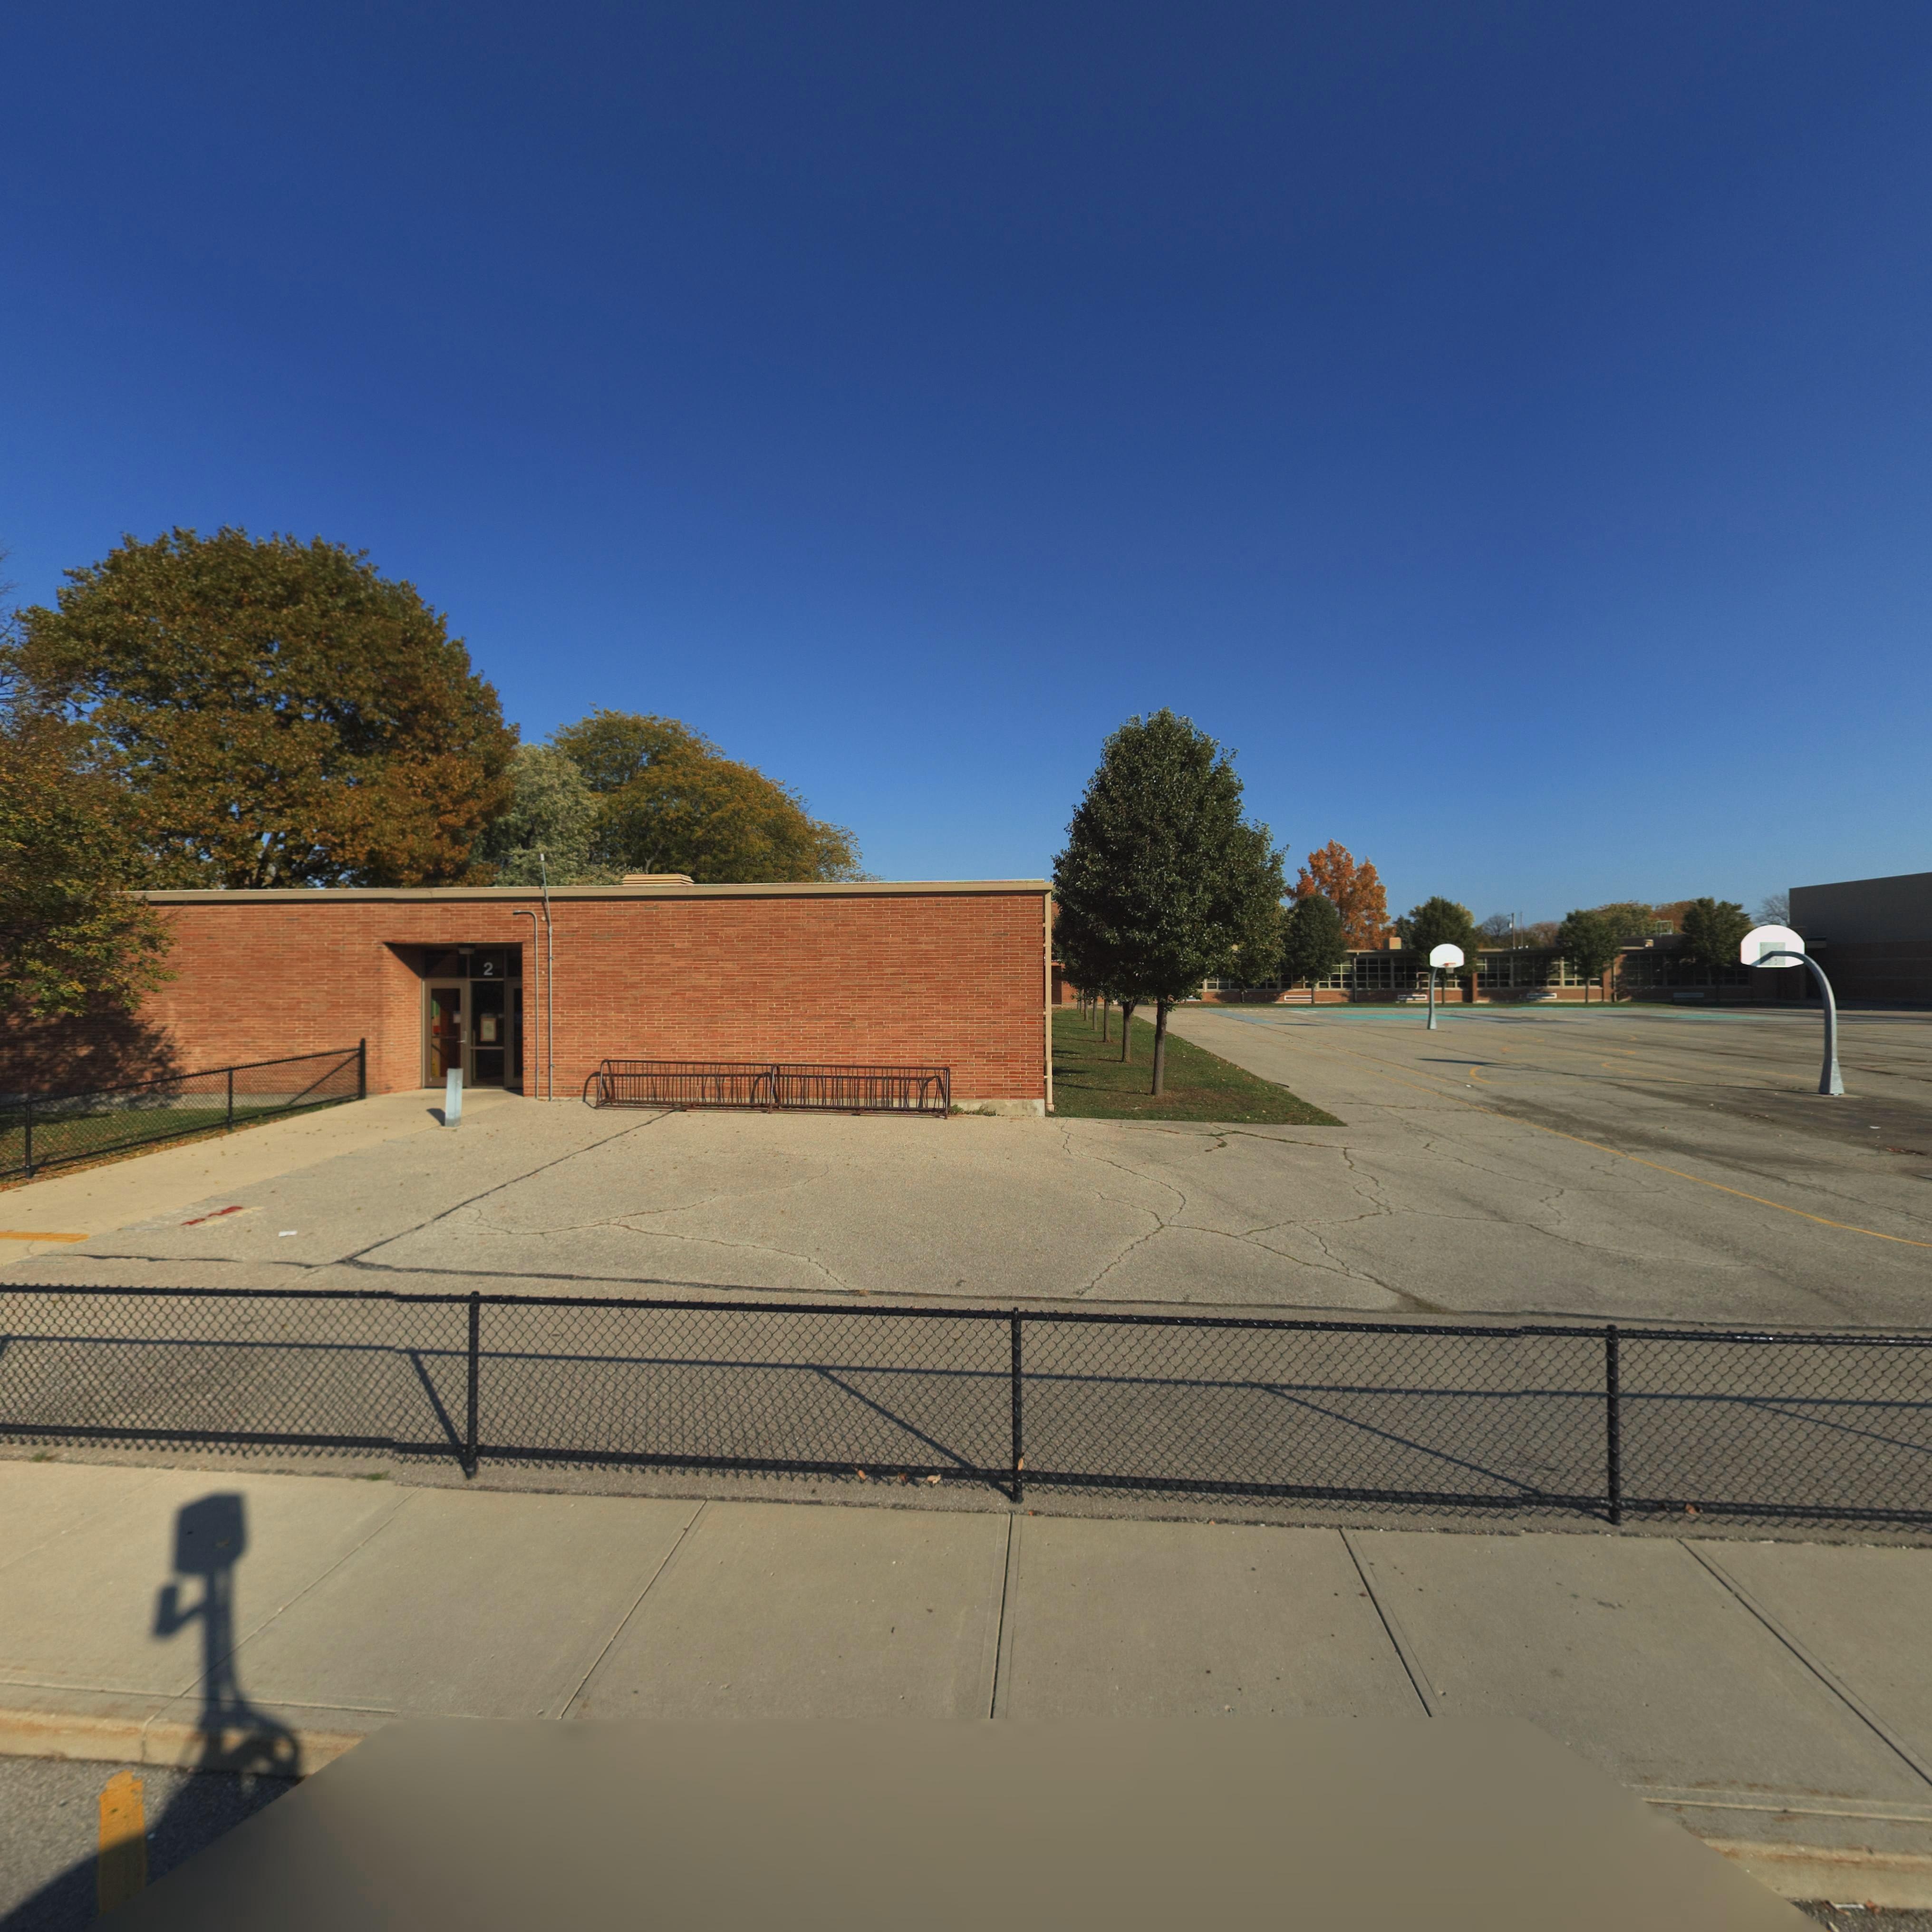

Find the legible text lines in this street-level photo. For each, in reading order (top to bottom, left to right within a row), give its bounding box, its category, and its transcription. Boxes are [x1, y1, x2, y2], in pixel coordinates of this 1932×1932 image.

[483, 962, 493, 976] StreetNumber: 2